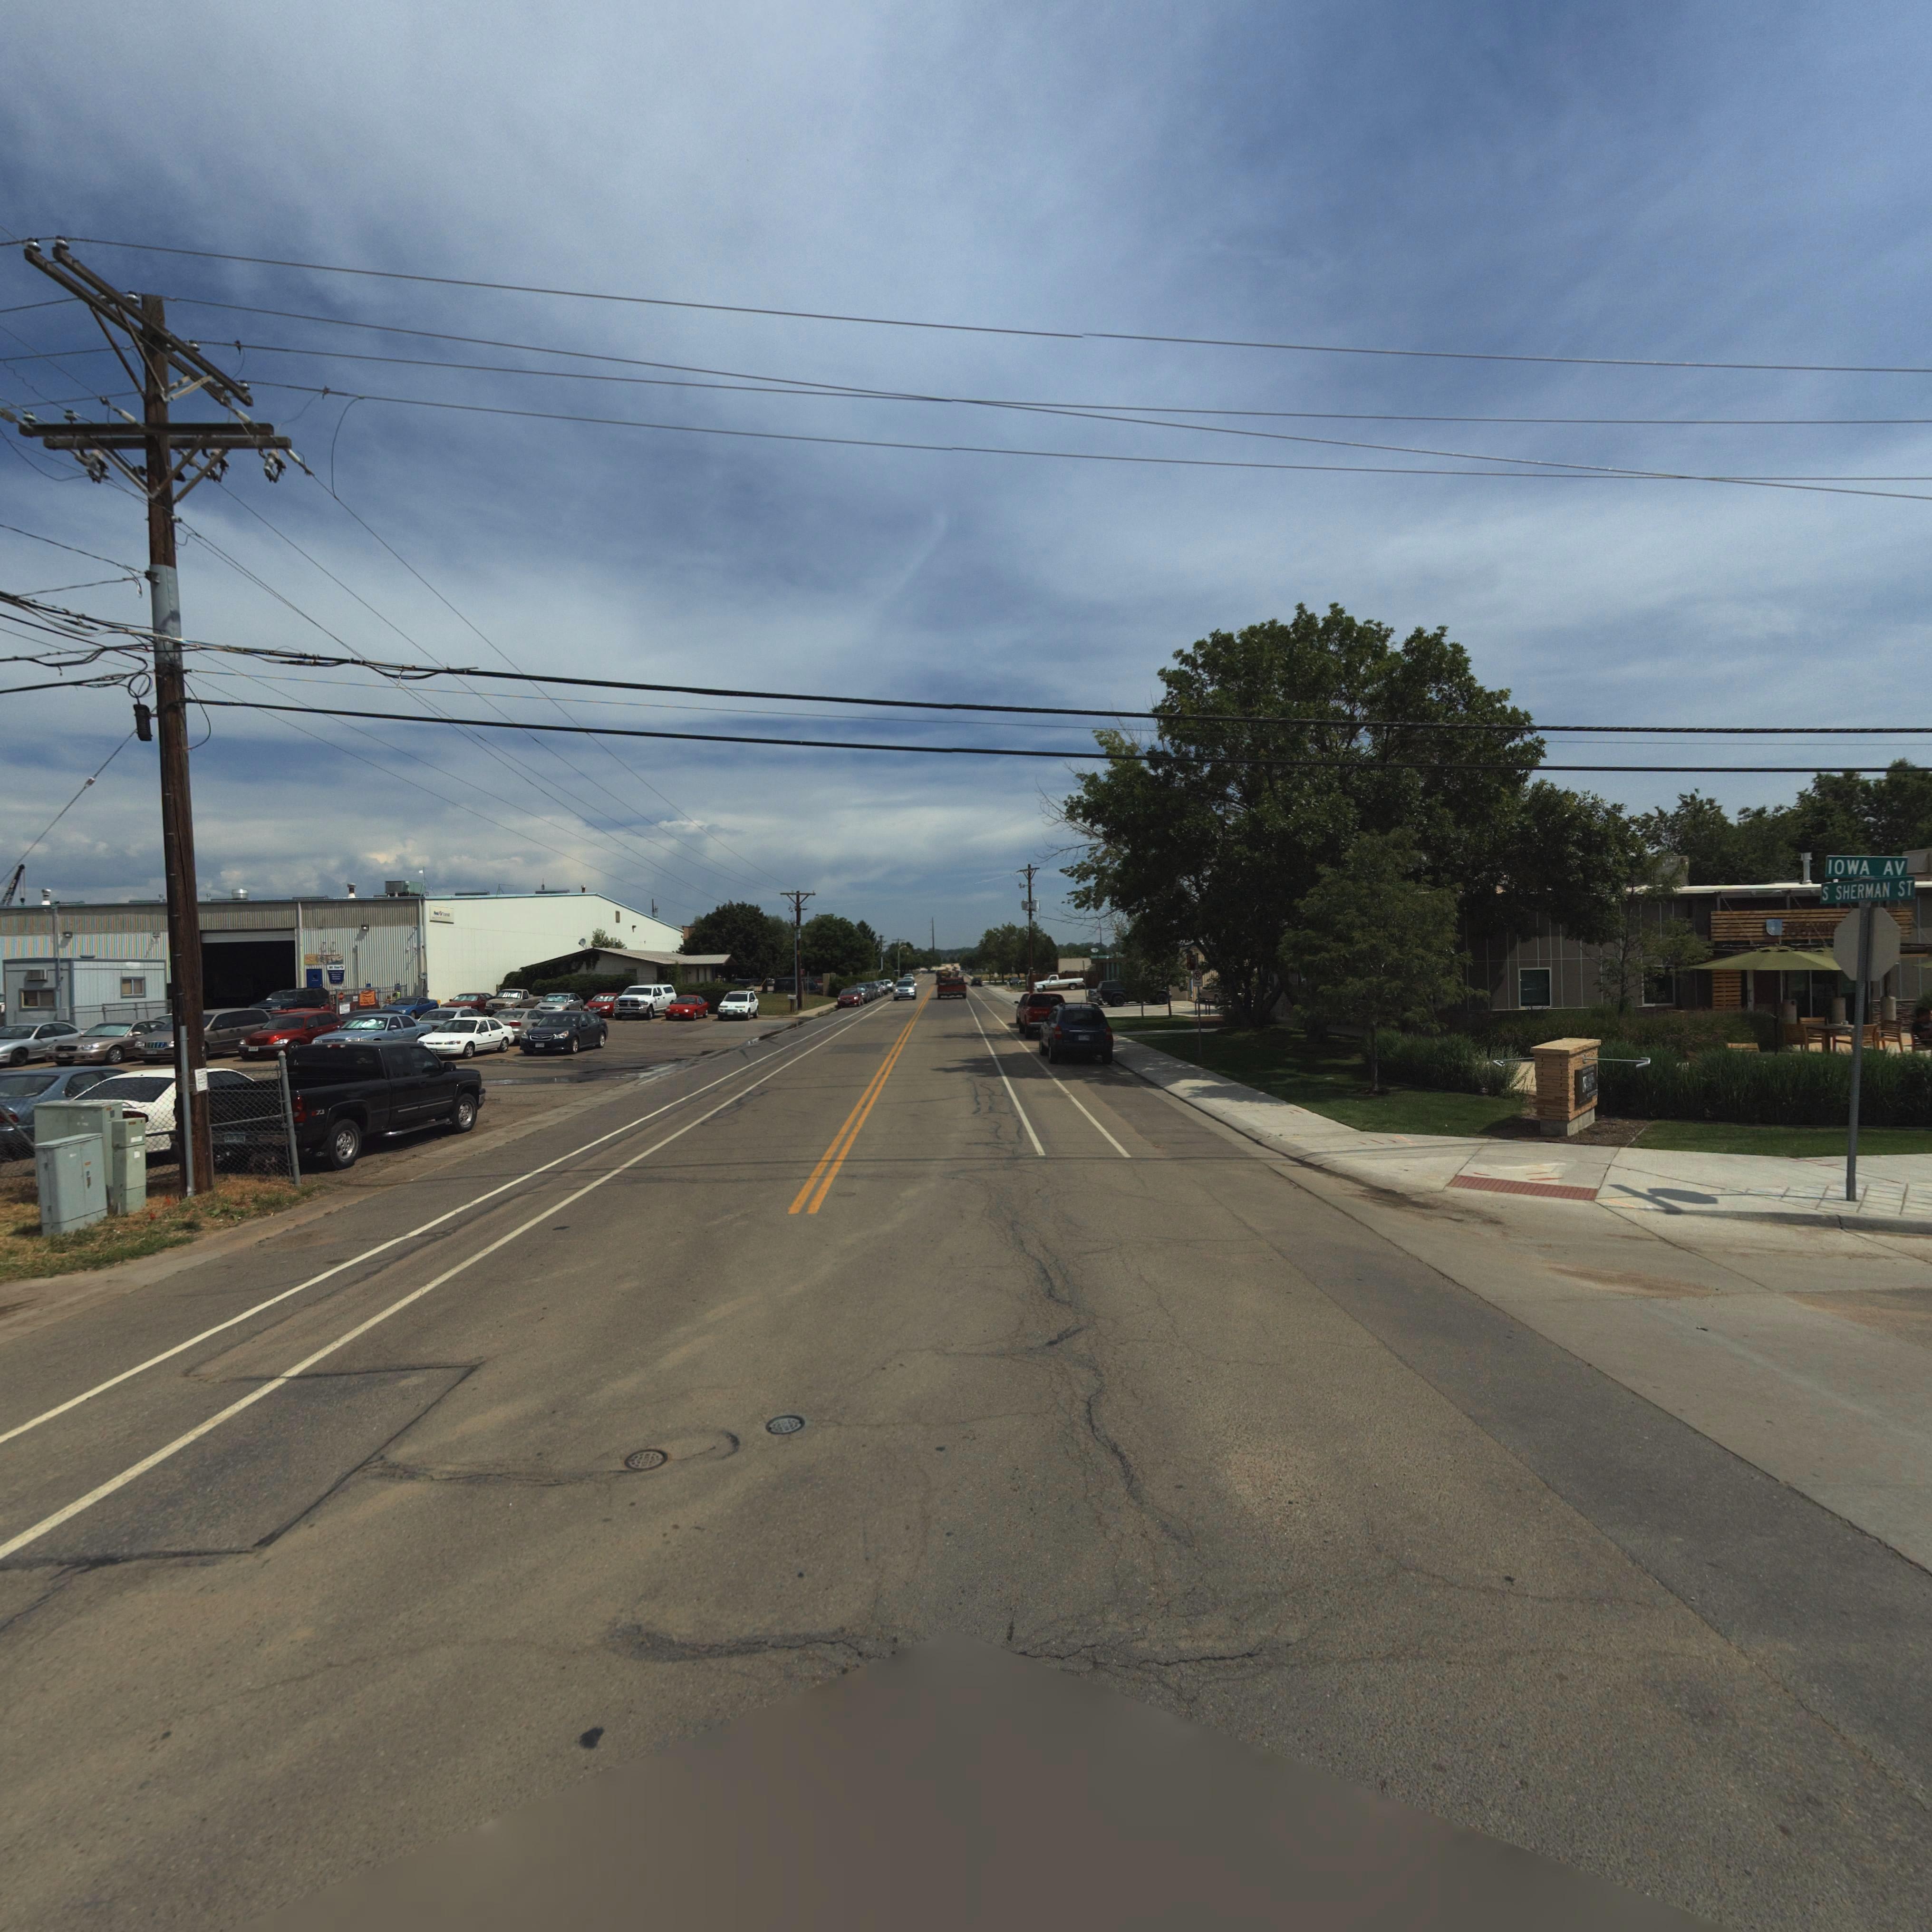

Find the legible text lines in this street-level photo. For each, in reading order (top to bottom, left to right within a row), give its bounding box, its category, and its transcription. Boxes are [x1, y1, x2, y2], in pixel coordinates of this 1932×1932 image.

[1826, 858, 1906, 877] StreetName: IOWA AV
[1821, 879, 1913, 901] StreetName: S SHERMAN ST